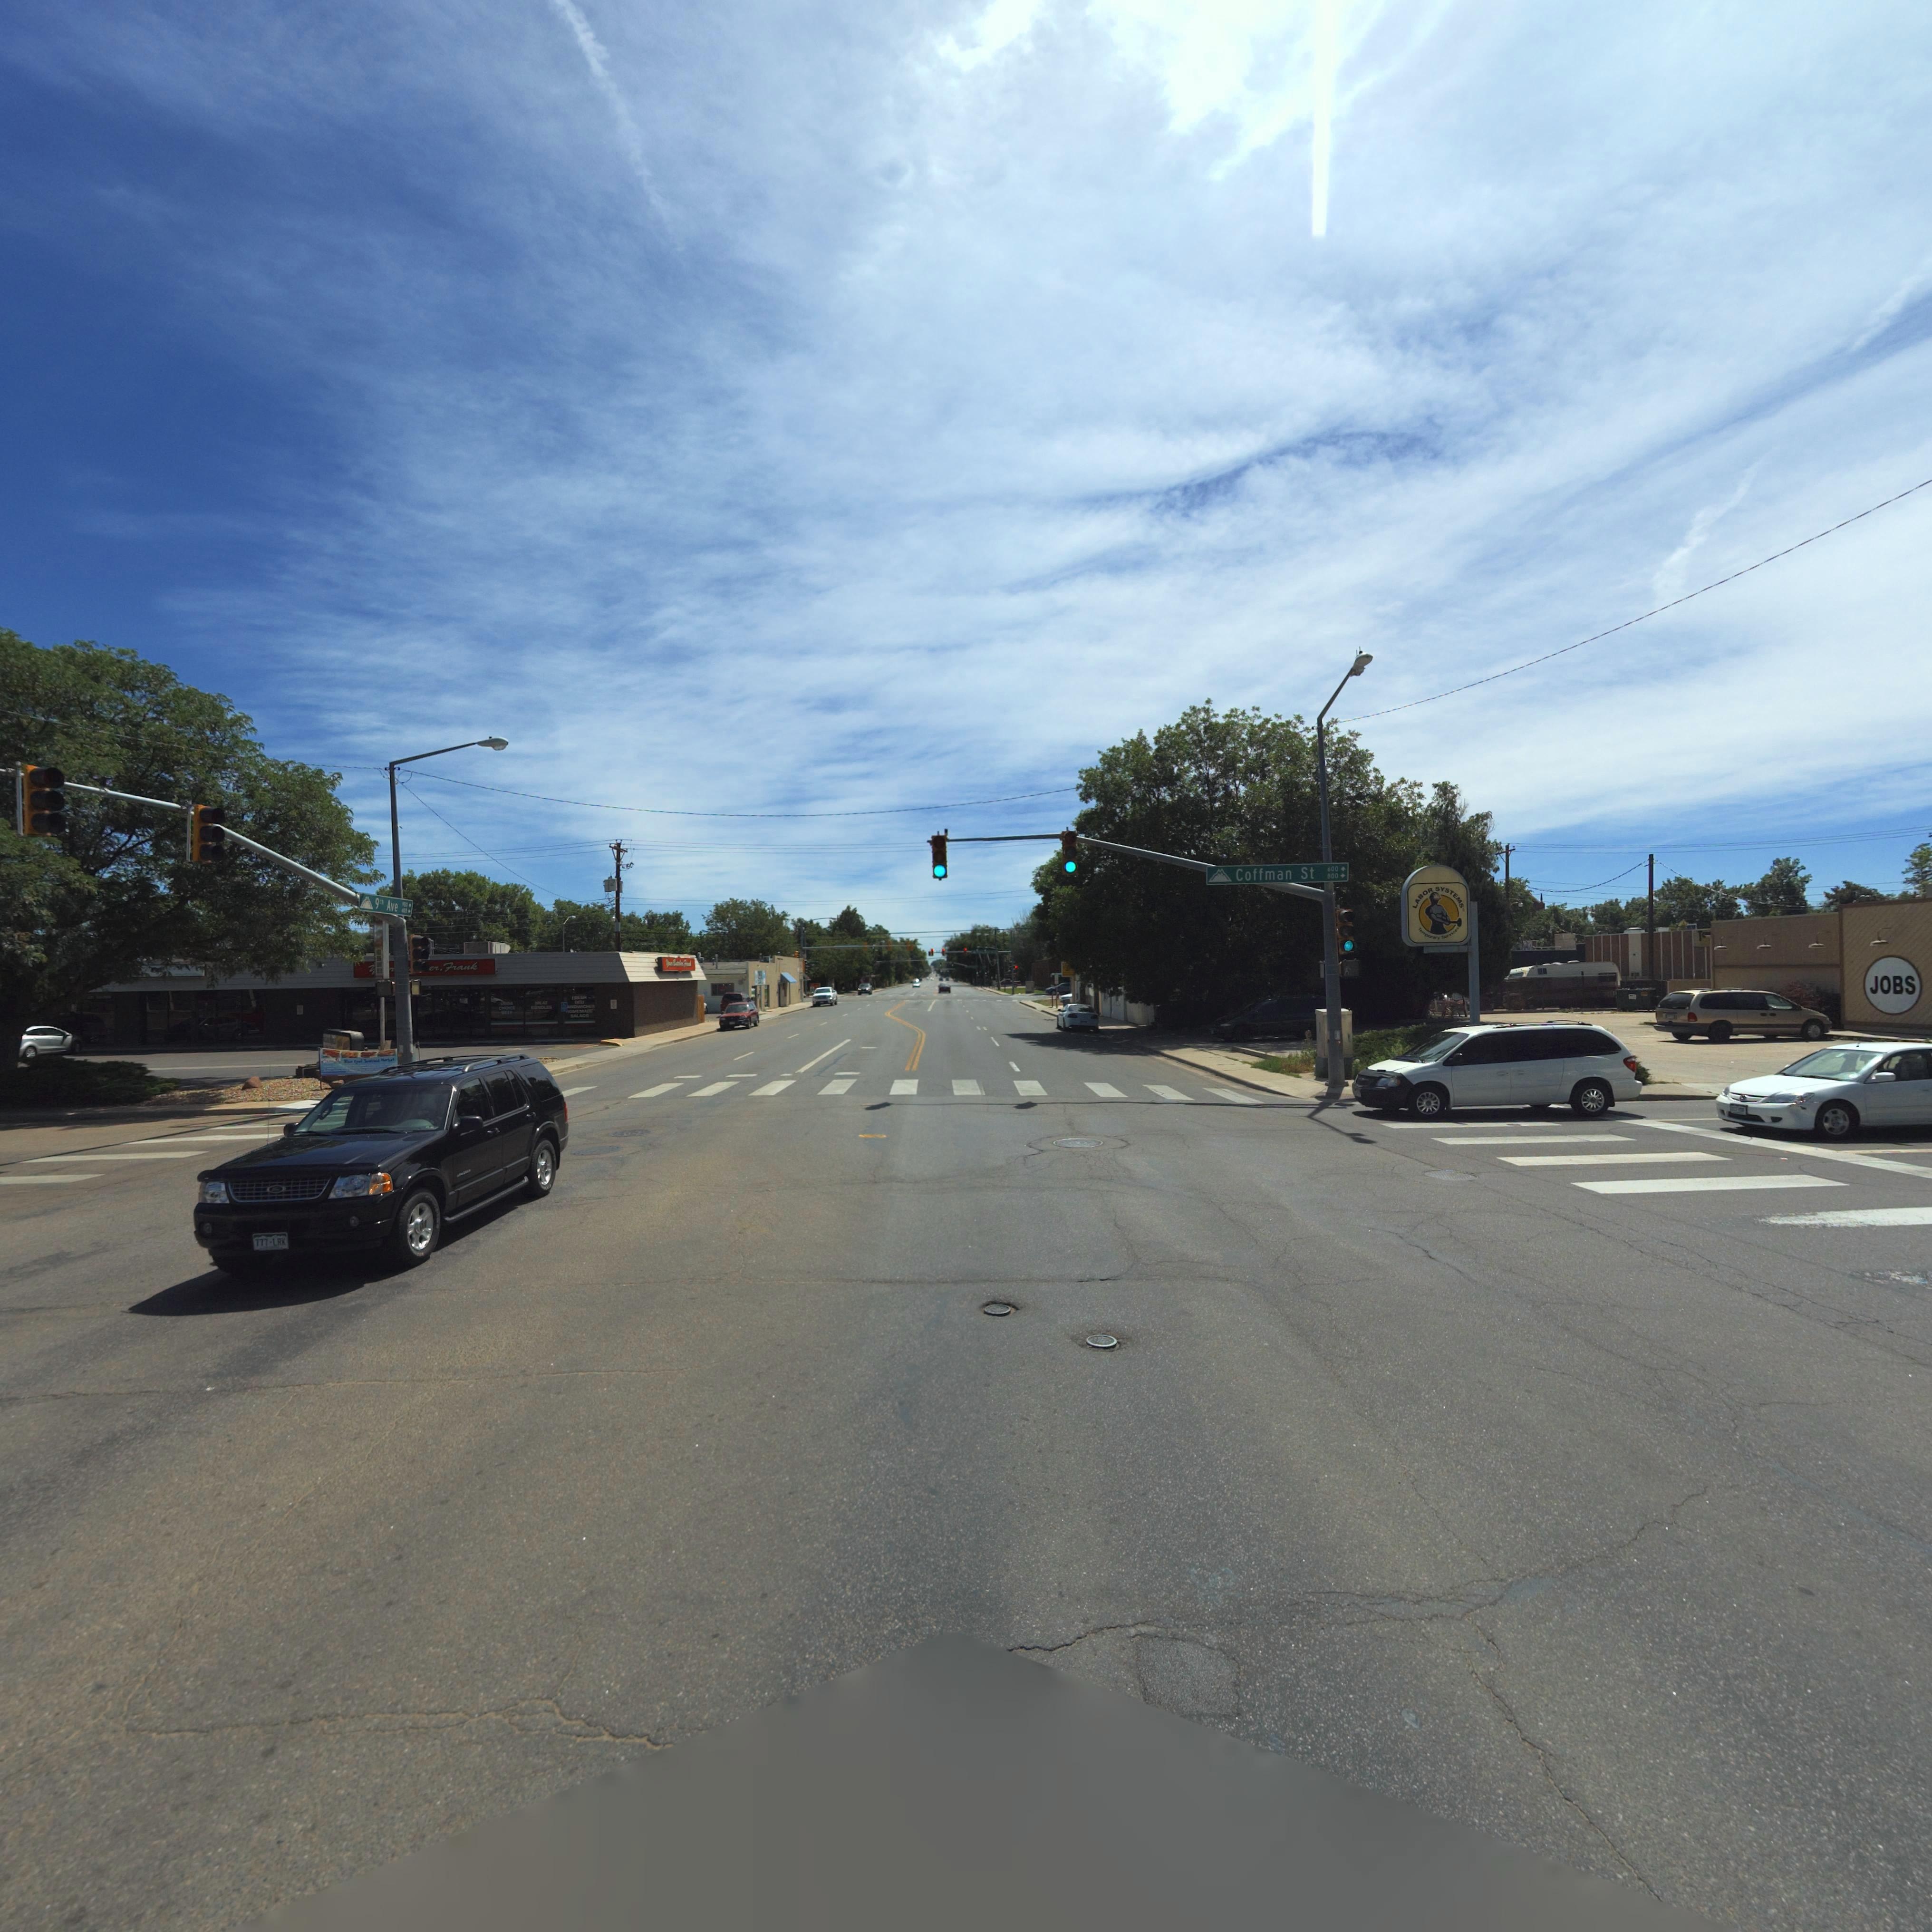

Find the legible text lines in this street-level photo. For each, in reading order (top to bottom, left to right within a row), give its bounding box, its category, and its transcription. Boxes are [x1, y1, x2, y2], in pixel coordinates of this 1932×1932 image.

[1235, 866, 1315, 881] StreetName: Coffman St
[1326, 865, 1339, 872] StreetNumberRange: 600
[1327, 872, 1346, 879] StreetNumberRange: 800->
[374, 897, 398, 912] StreetName: 9** Ave
[1411, 886, 1465, 908] BusinessName: LABOR SYSTEMS
[367, 961, 479, 975] BusinessName: **** *****er, Frank